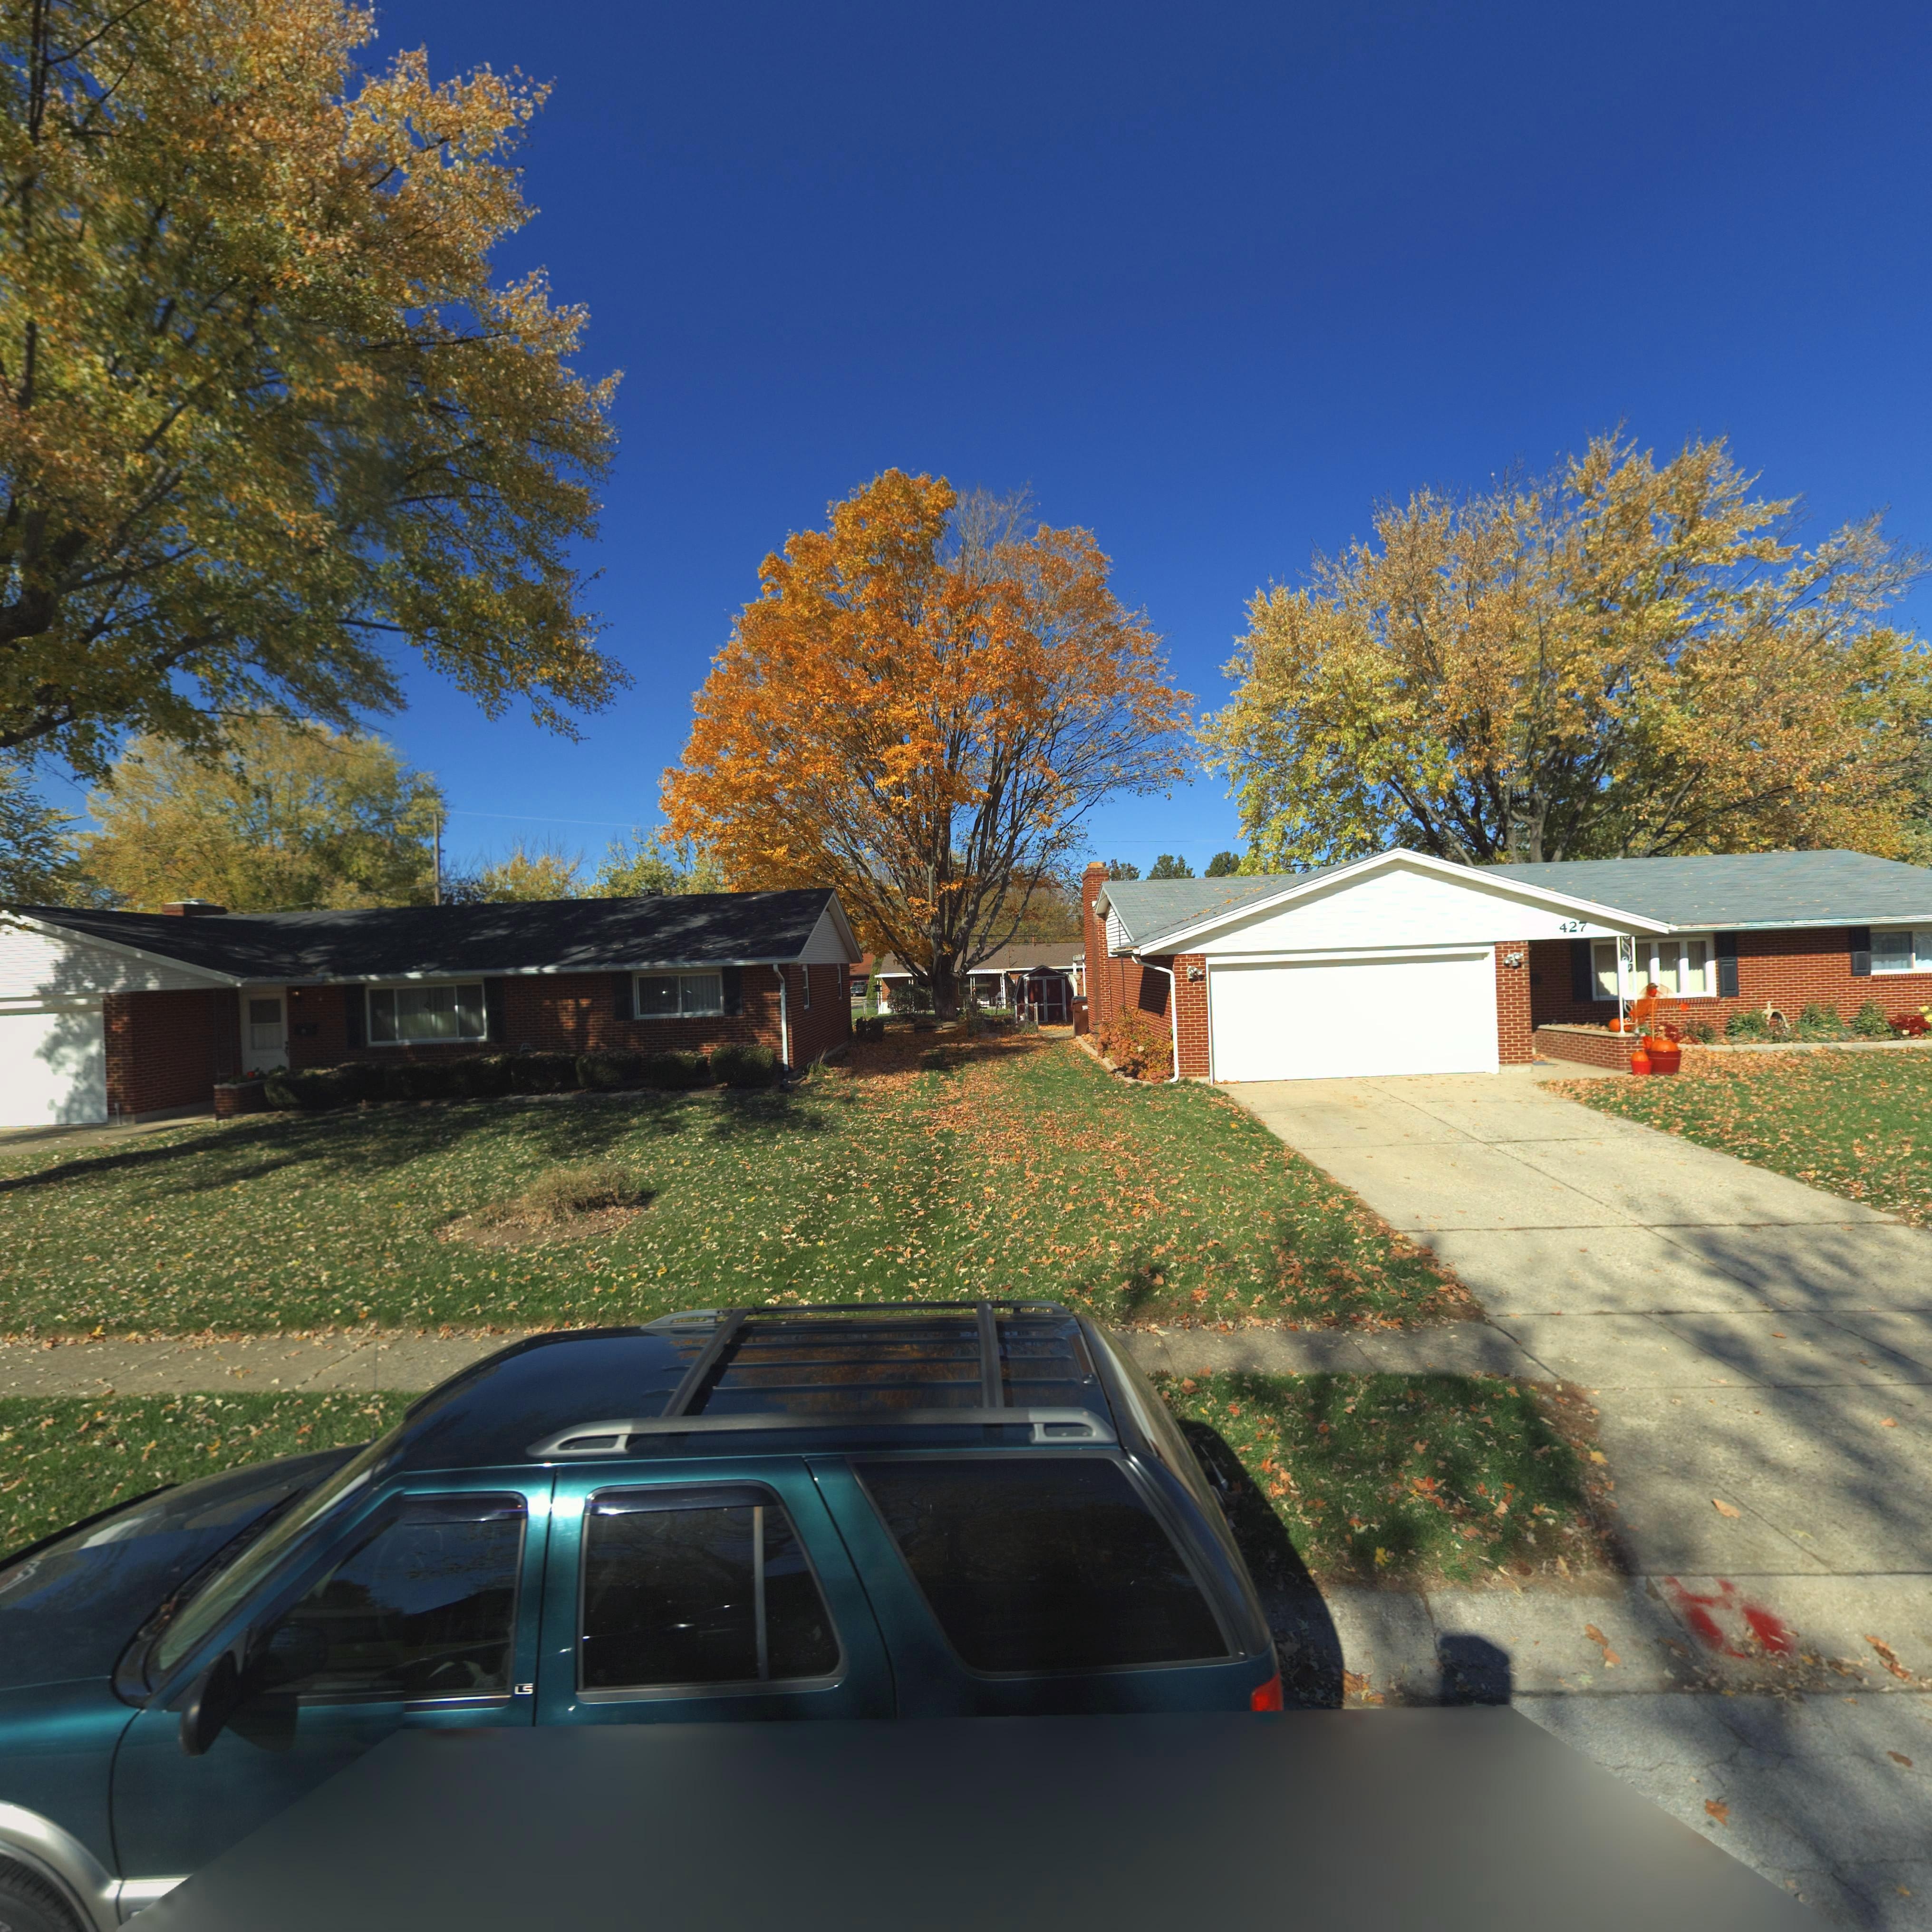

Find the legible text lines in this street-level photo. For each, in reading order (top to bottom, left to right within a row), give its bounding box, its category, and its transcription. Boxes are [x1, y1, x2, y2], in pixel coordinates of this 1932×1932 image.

[1558, 919, 1588, 934] StreetNumber: 427
[513, 1685, 534, 1695] None: LS